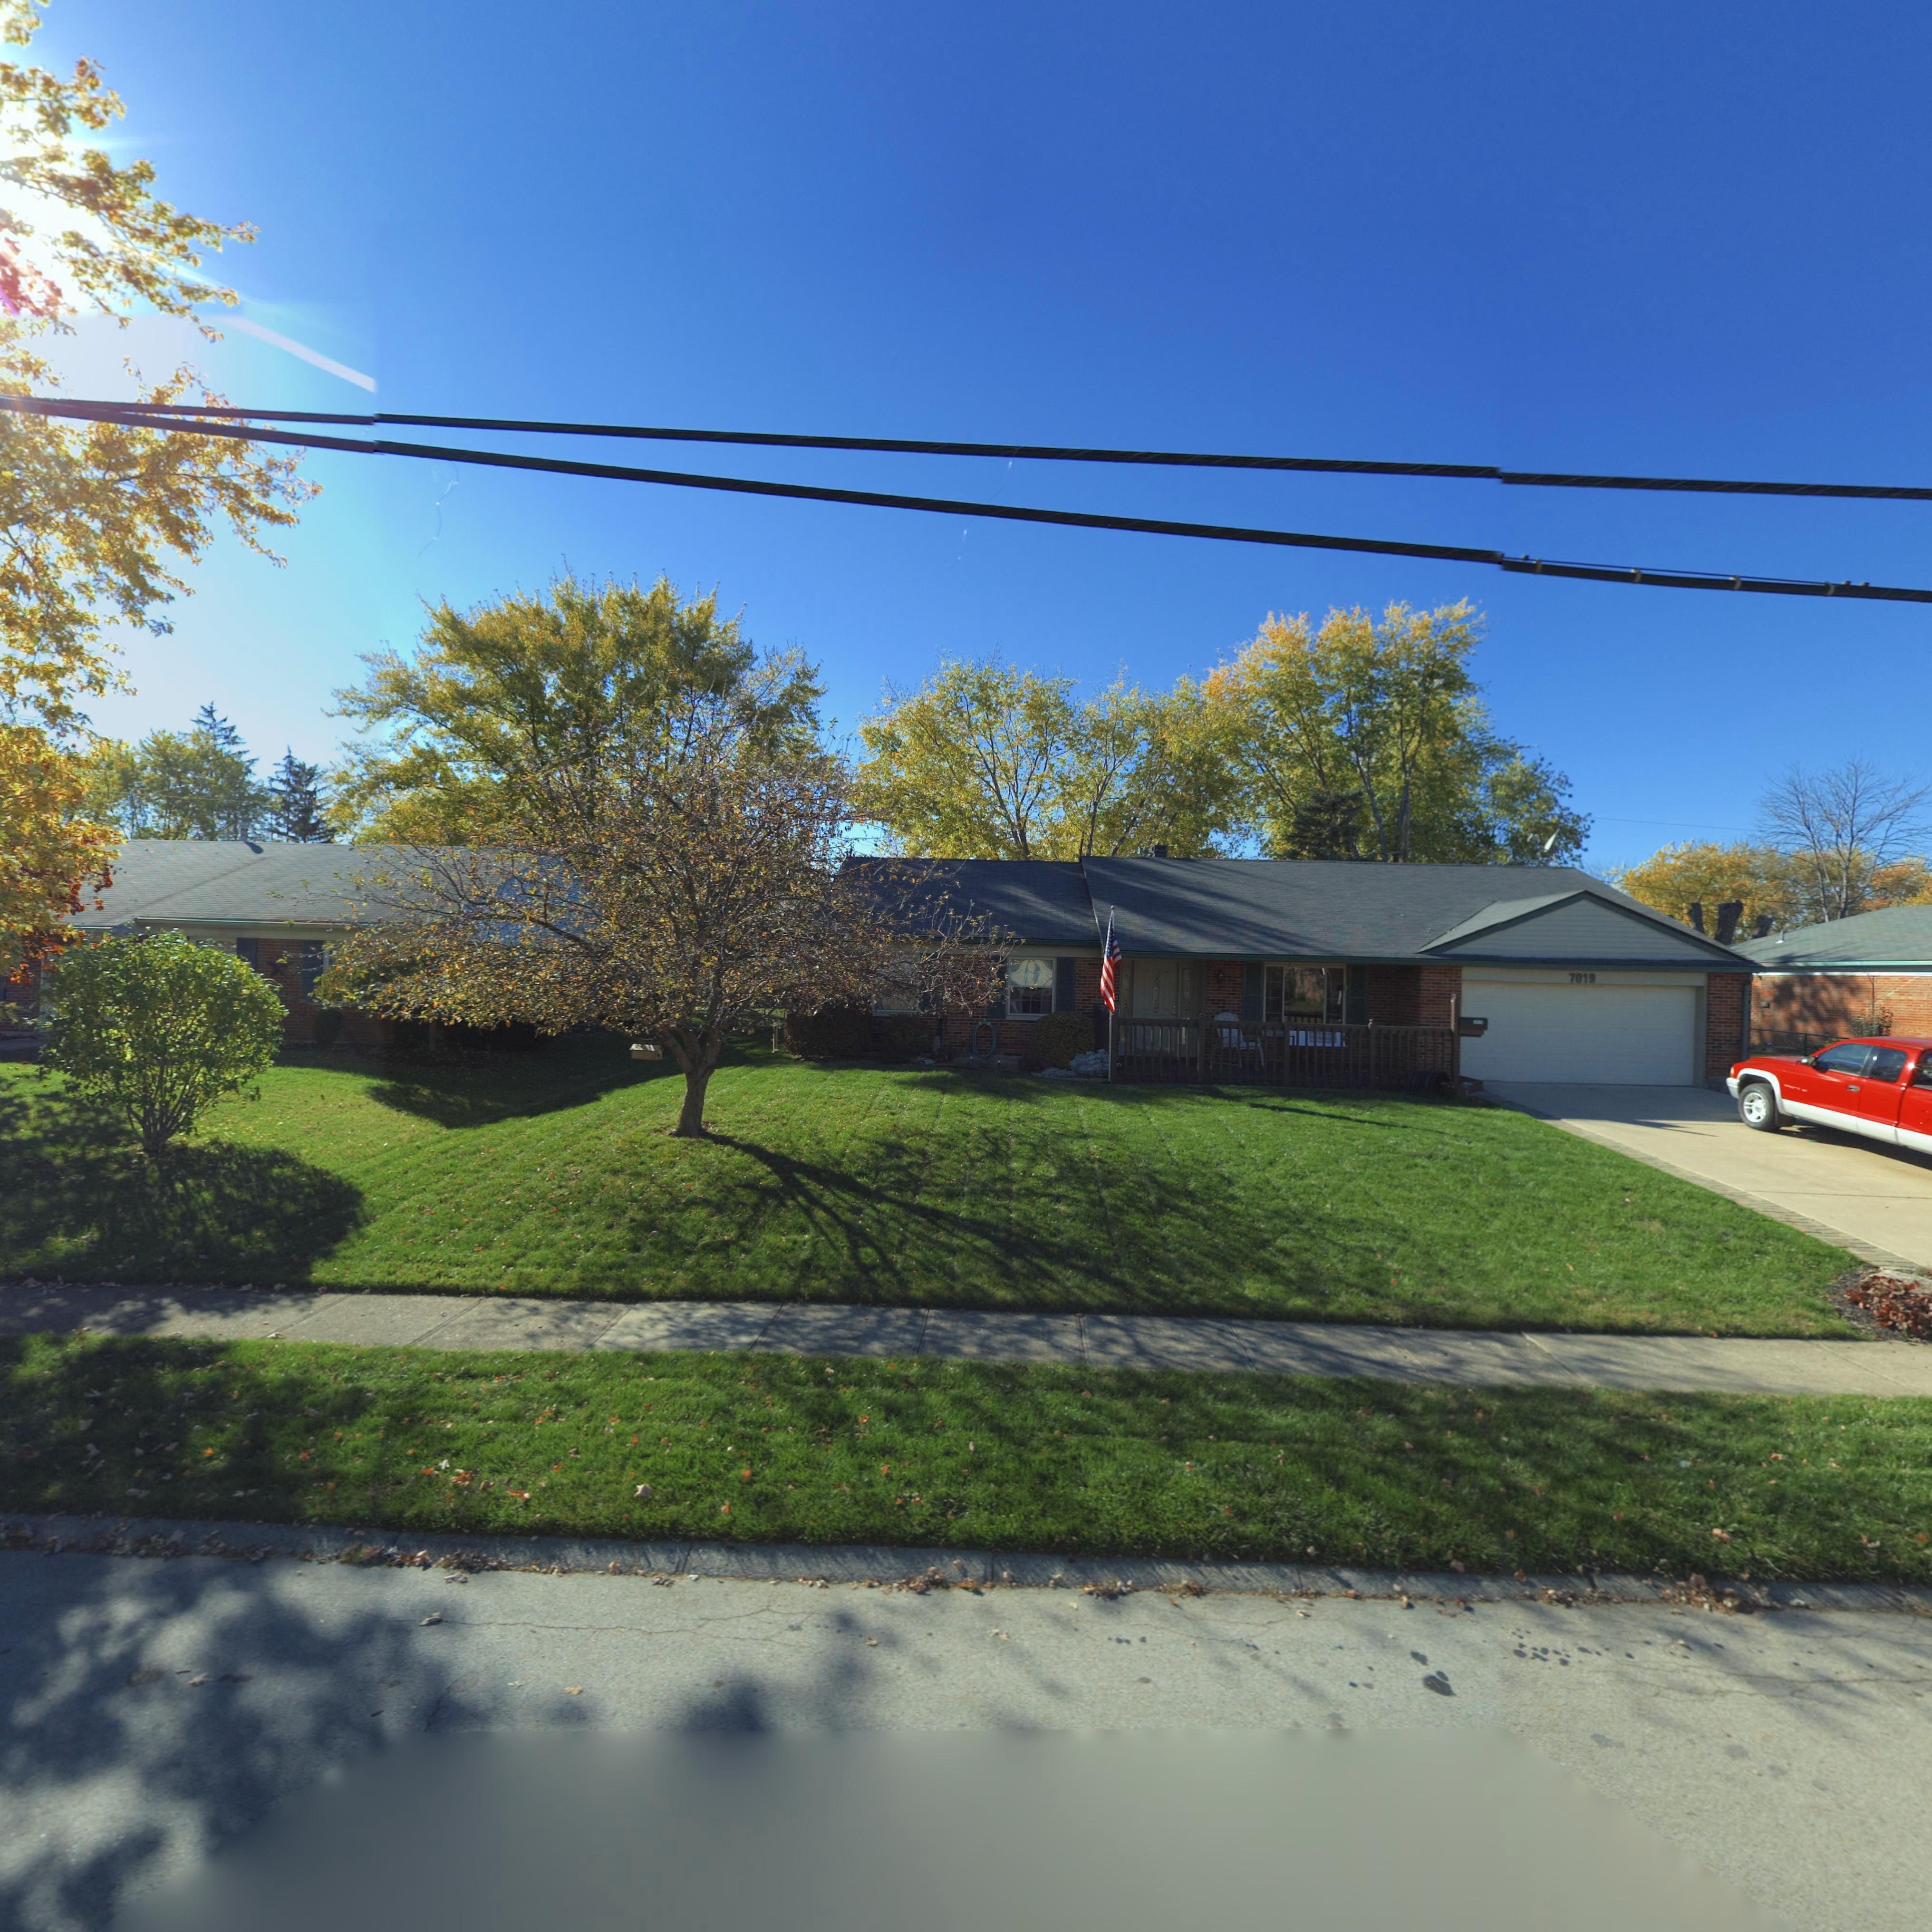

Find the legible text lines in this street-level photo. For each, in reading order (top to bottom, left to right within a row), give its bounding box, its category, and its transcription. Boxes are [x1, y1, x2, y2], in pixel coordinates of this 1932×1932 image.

[1568, 972, 1596, 984] StreetNumber: 7019